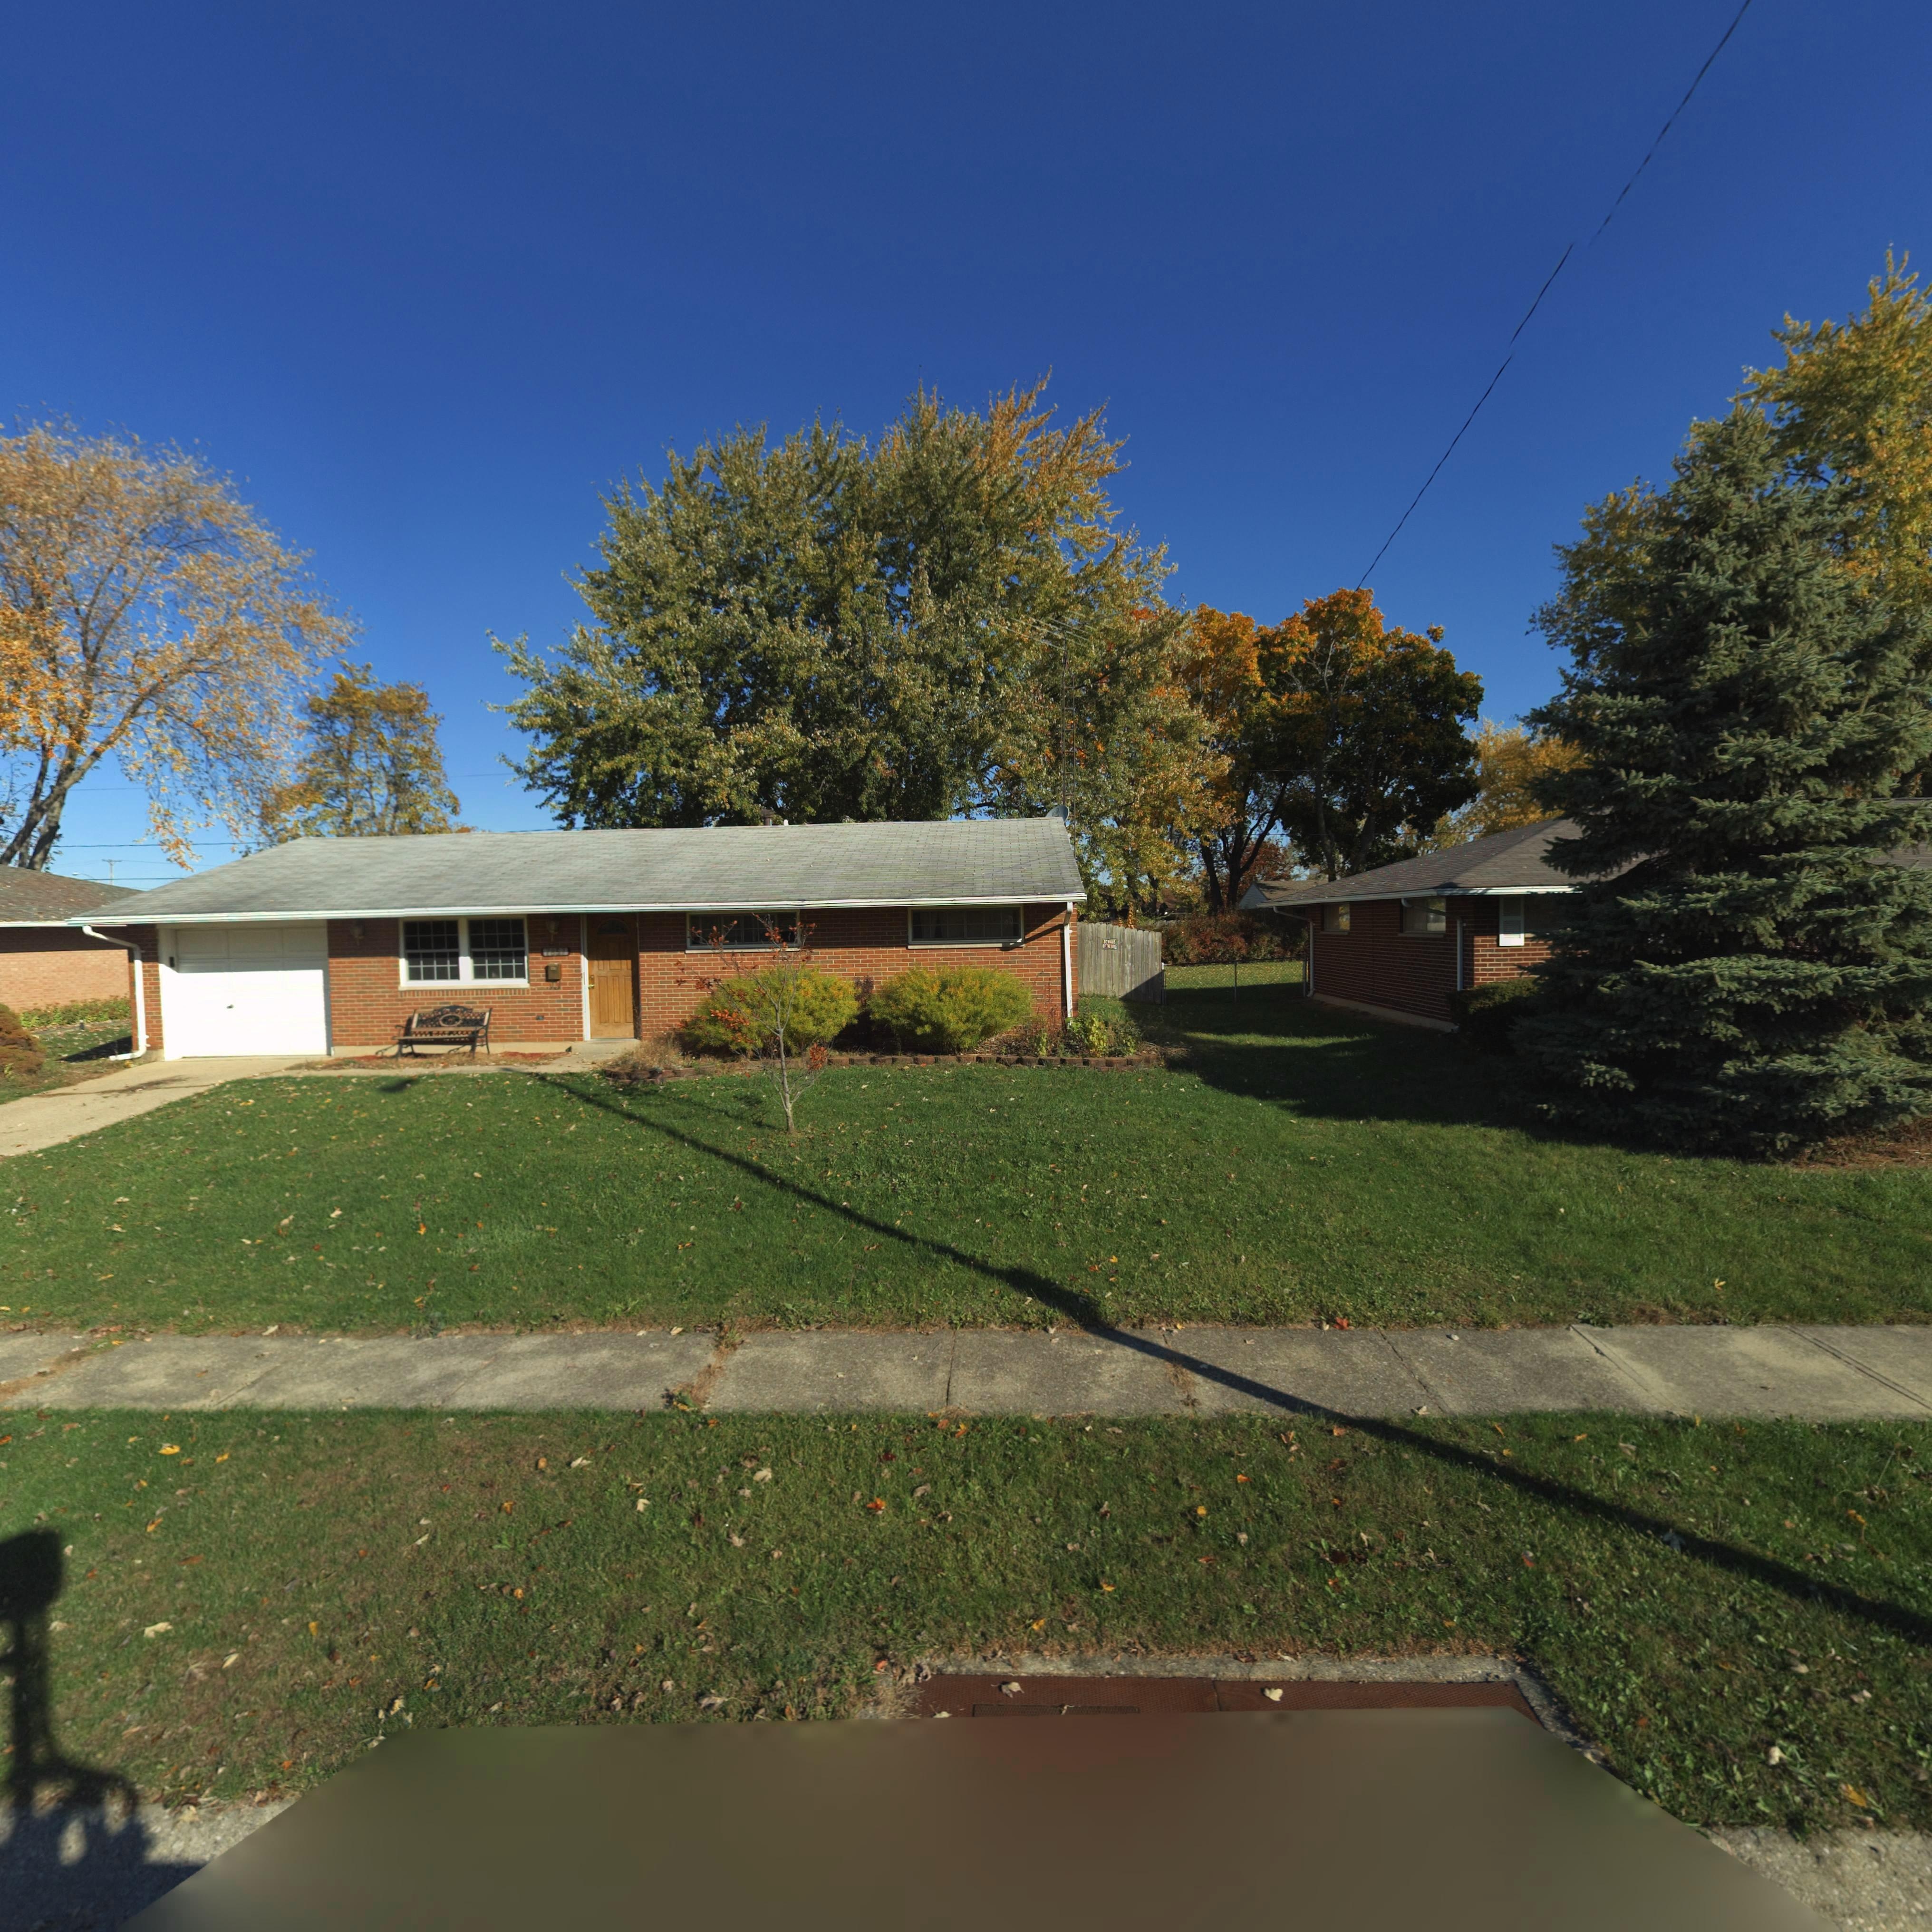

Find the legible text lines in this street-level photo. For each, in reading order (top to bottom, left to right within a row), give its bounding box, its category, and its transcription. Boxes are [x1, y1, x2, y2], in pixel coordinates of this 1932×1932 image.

[545, 947, 566, 956] StreetNumber: 7857